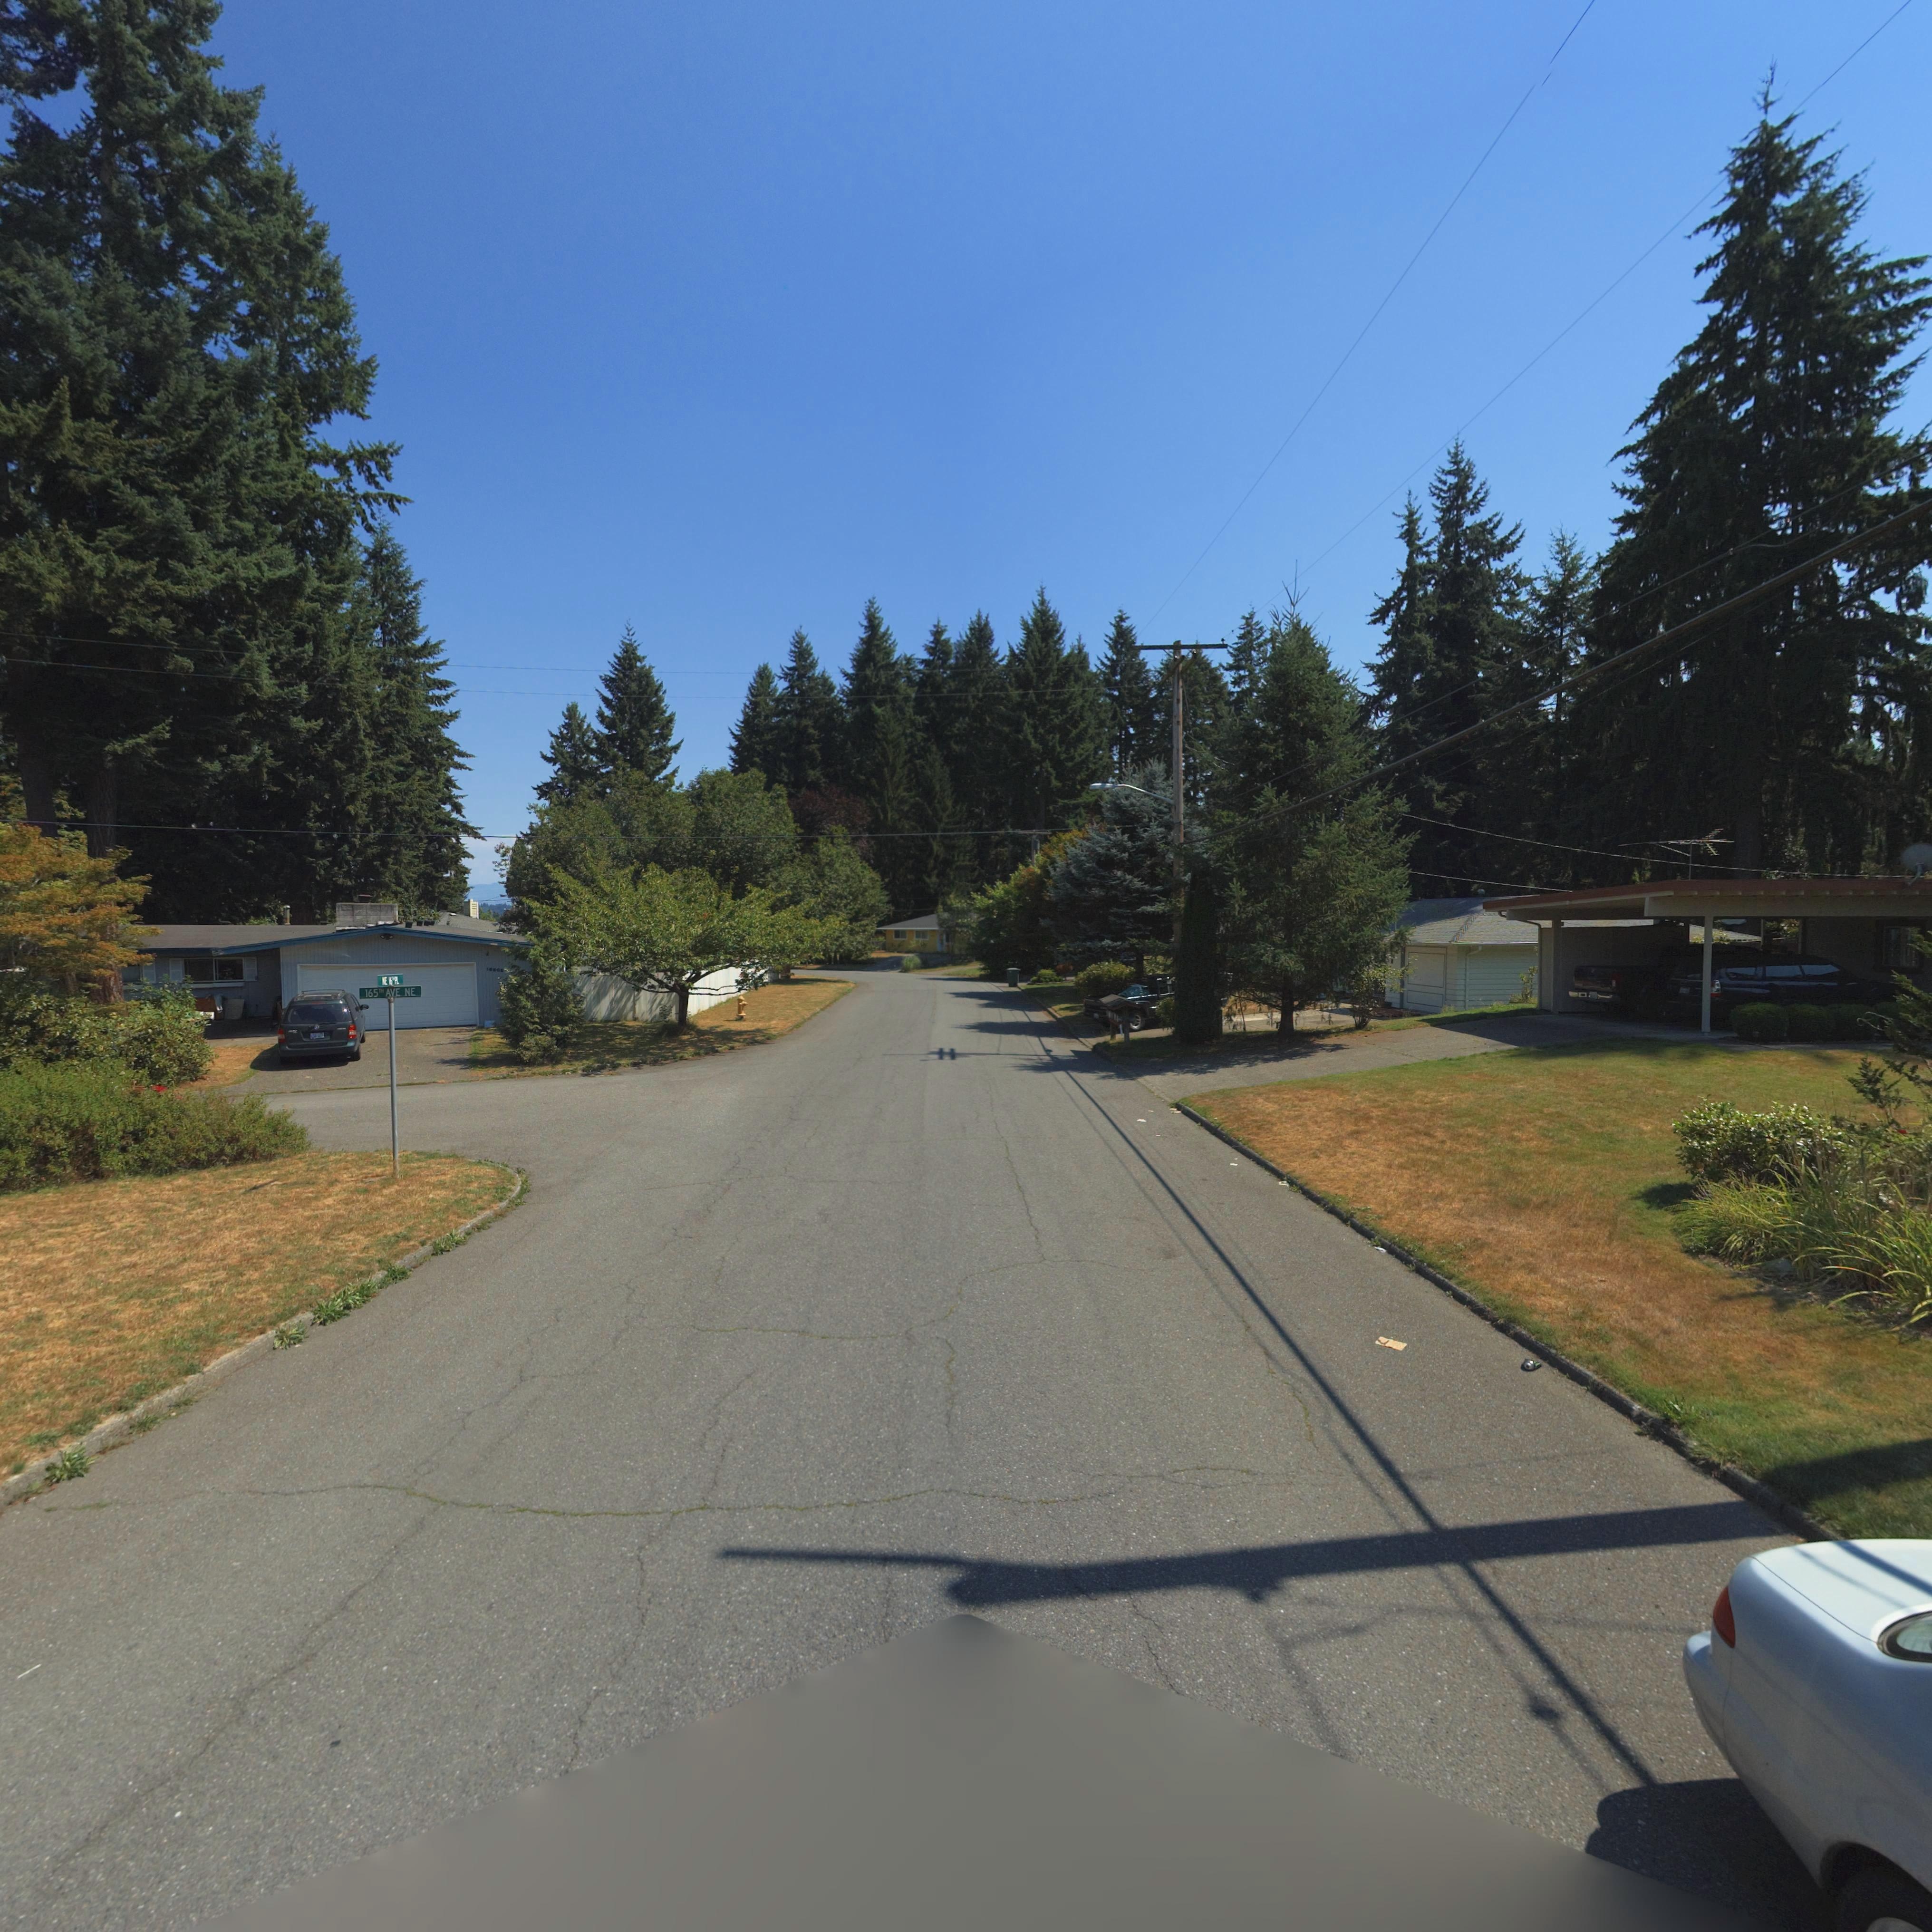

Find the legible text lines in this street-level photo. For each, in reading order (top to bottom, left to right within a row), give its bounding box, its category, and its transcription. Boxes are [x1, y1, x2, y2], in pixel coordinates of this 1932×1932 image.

[380, 975, 399, 985] StreetName: NE 16* PL
[365, 986, 416, 997] StreetName: 165th Ave NE